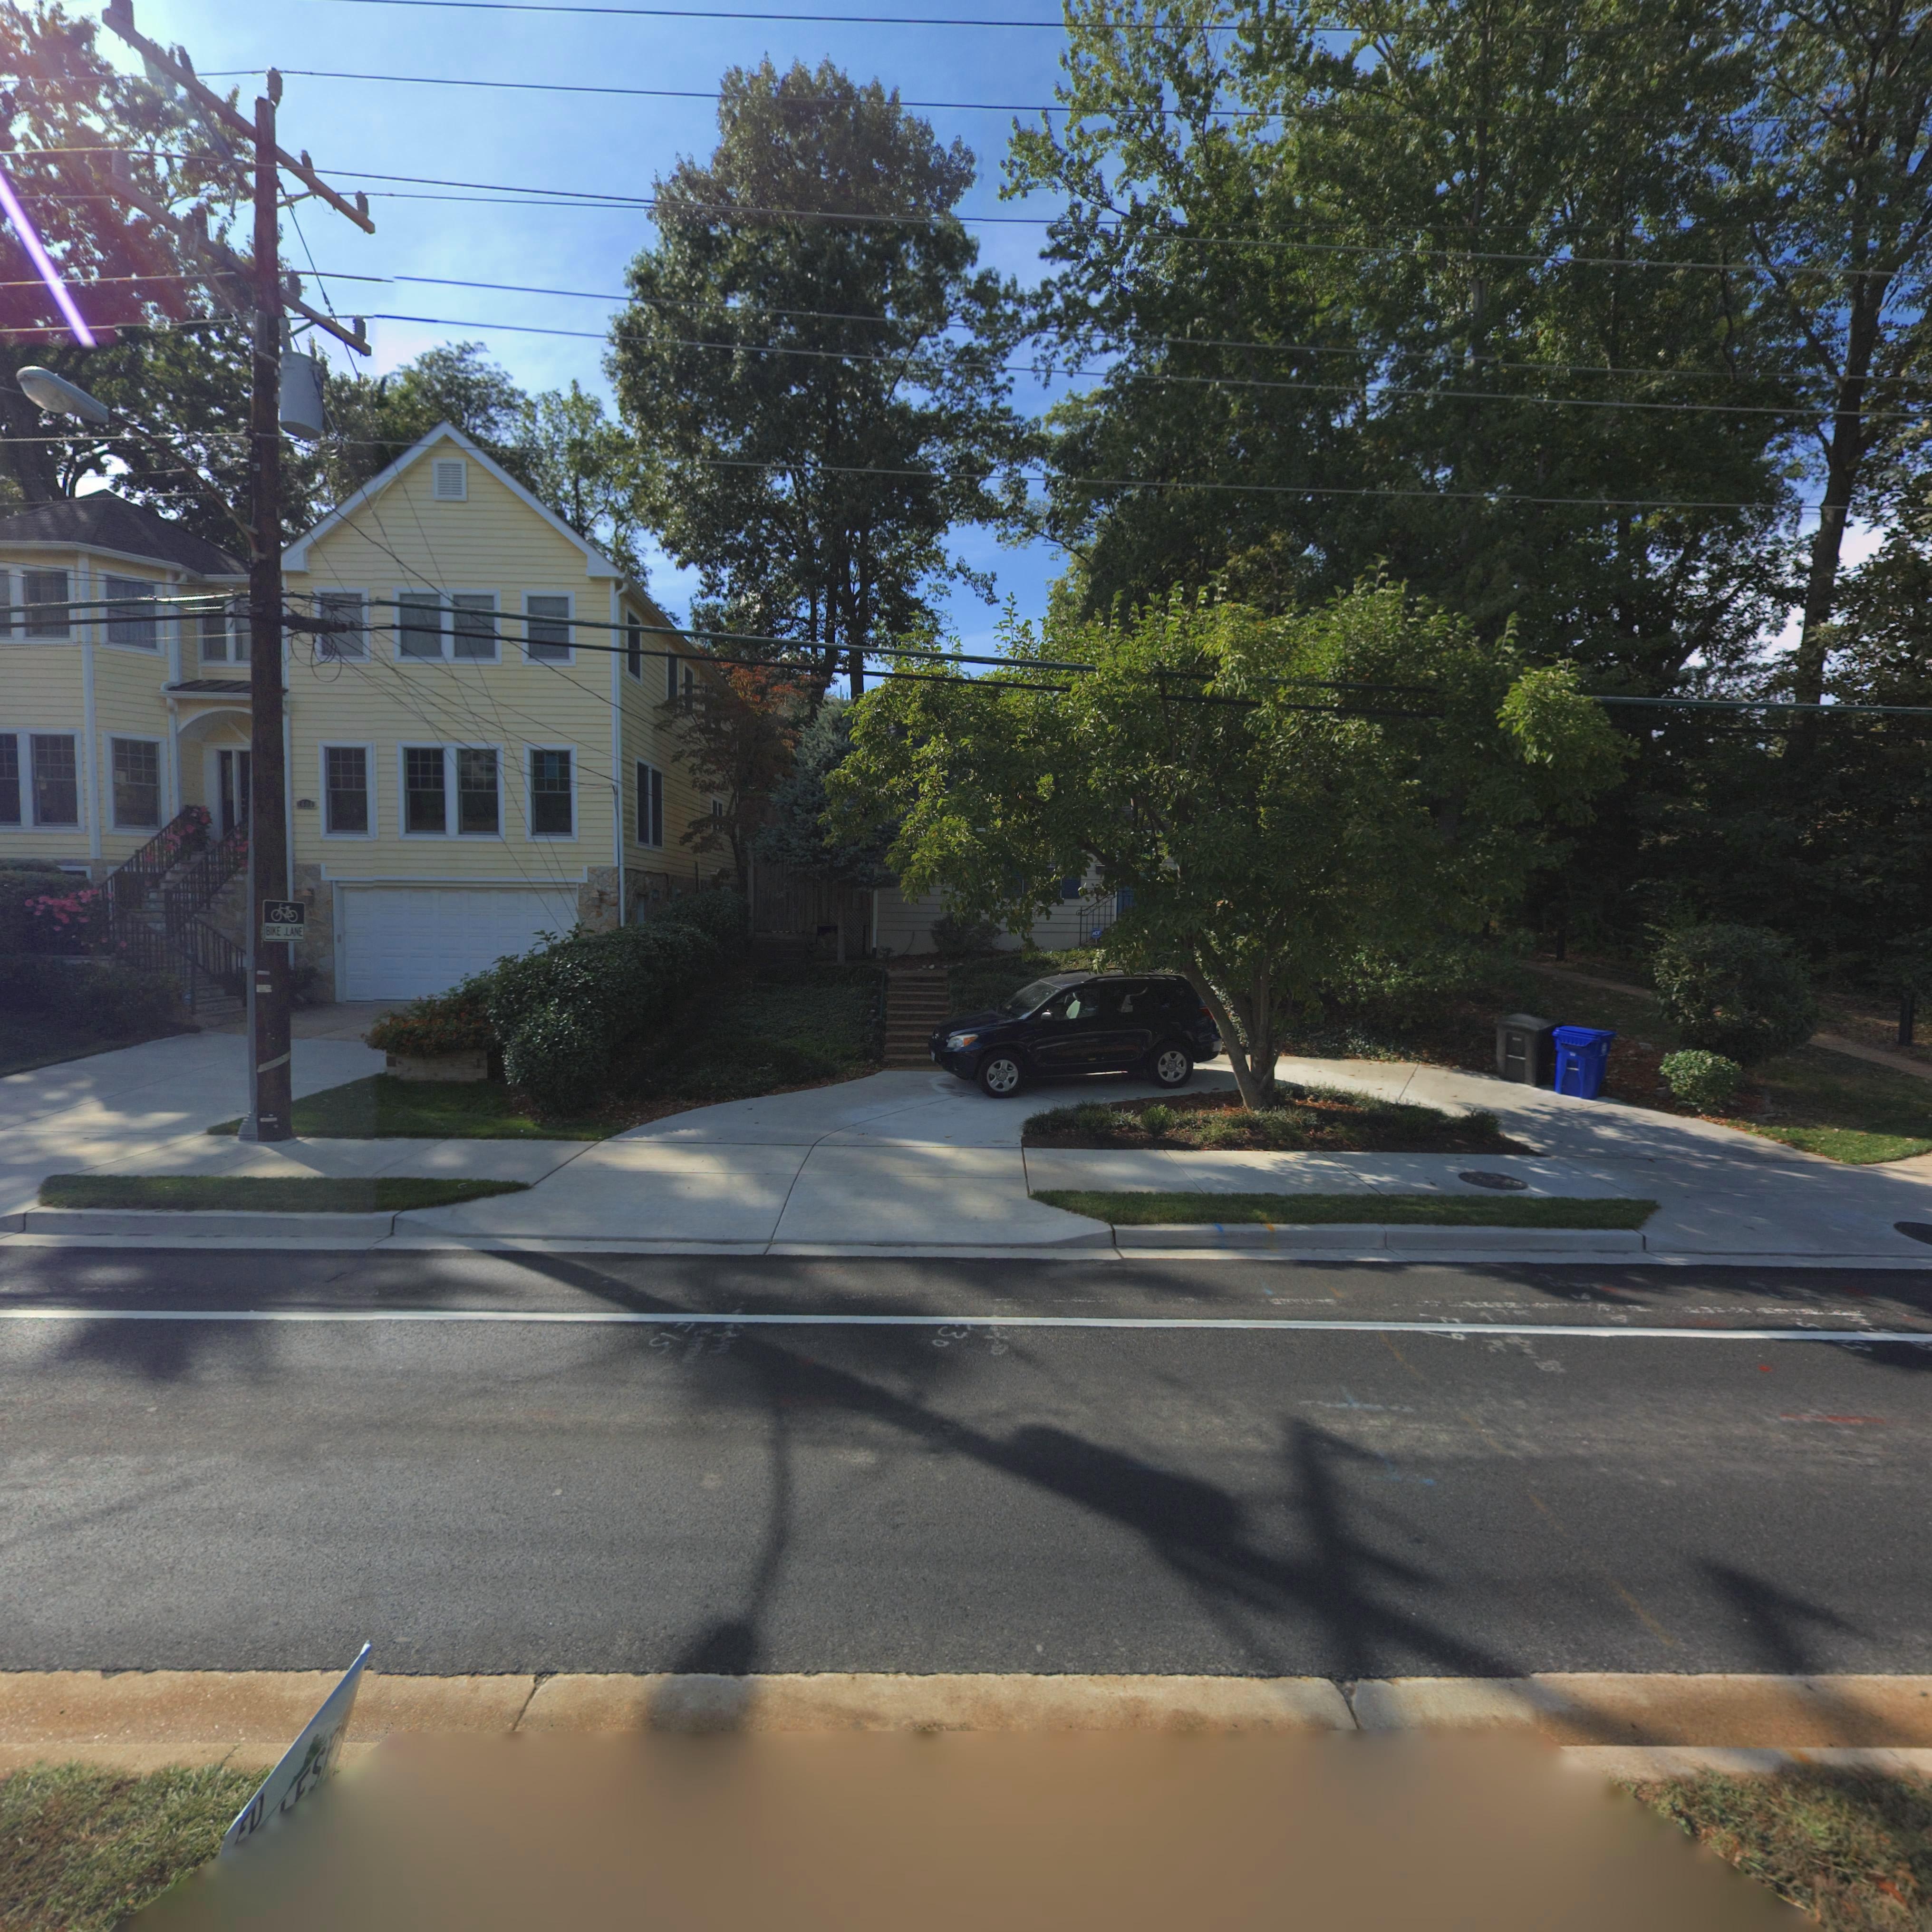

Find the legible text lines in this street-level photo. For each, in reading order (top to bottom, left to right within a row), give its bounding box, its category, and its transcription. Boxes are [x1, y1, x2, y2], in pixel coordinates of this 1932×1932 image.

[264, 924, 305, 938] None: BIKE LANE
[929, 1322, 972, 1351] None: 30